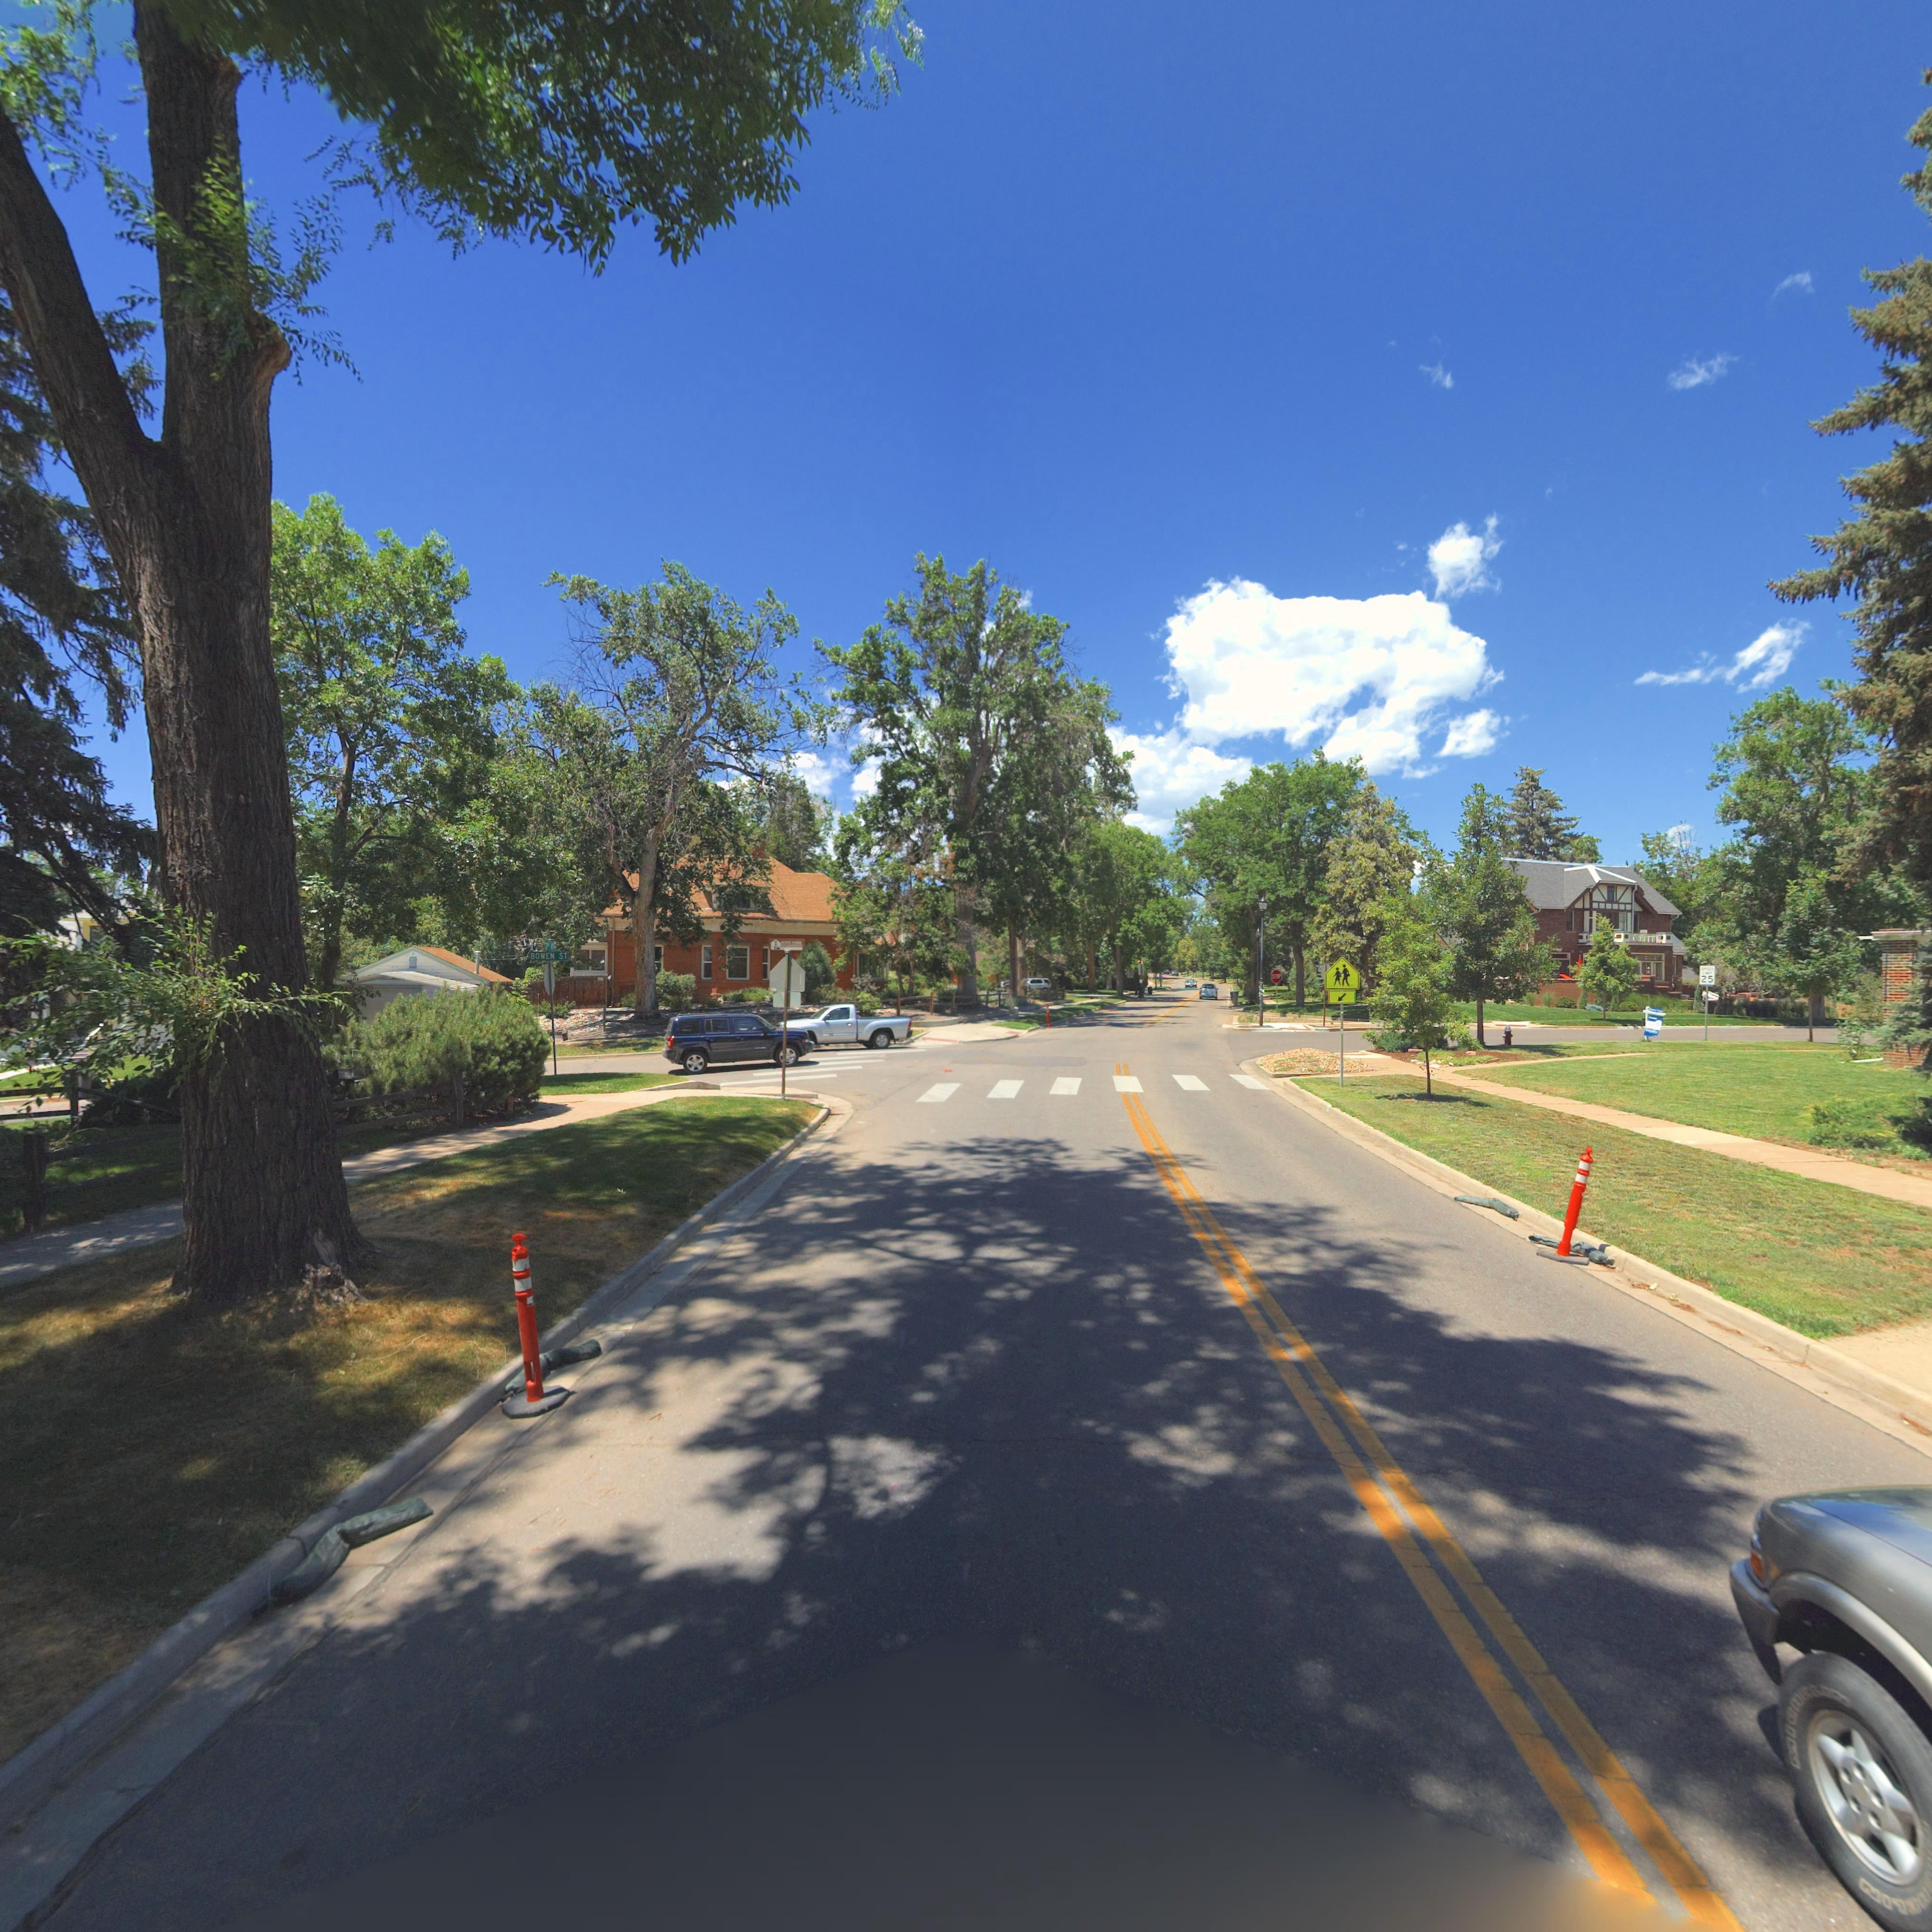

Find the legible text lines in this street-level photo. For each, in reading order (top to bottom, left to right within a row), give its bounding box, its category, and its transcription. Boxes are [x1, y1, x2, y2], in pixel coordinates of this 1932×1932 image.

[545, 942, 554, 949] StreetName: 3** **
[531, 952, 567, 959] StreetName: BOWEN ST